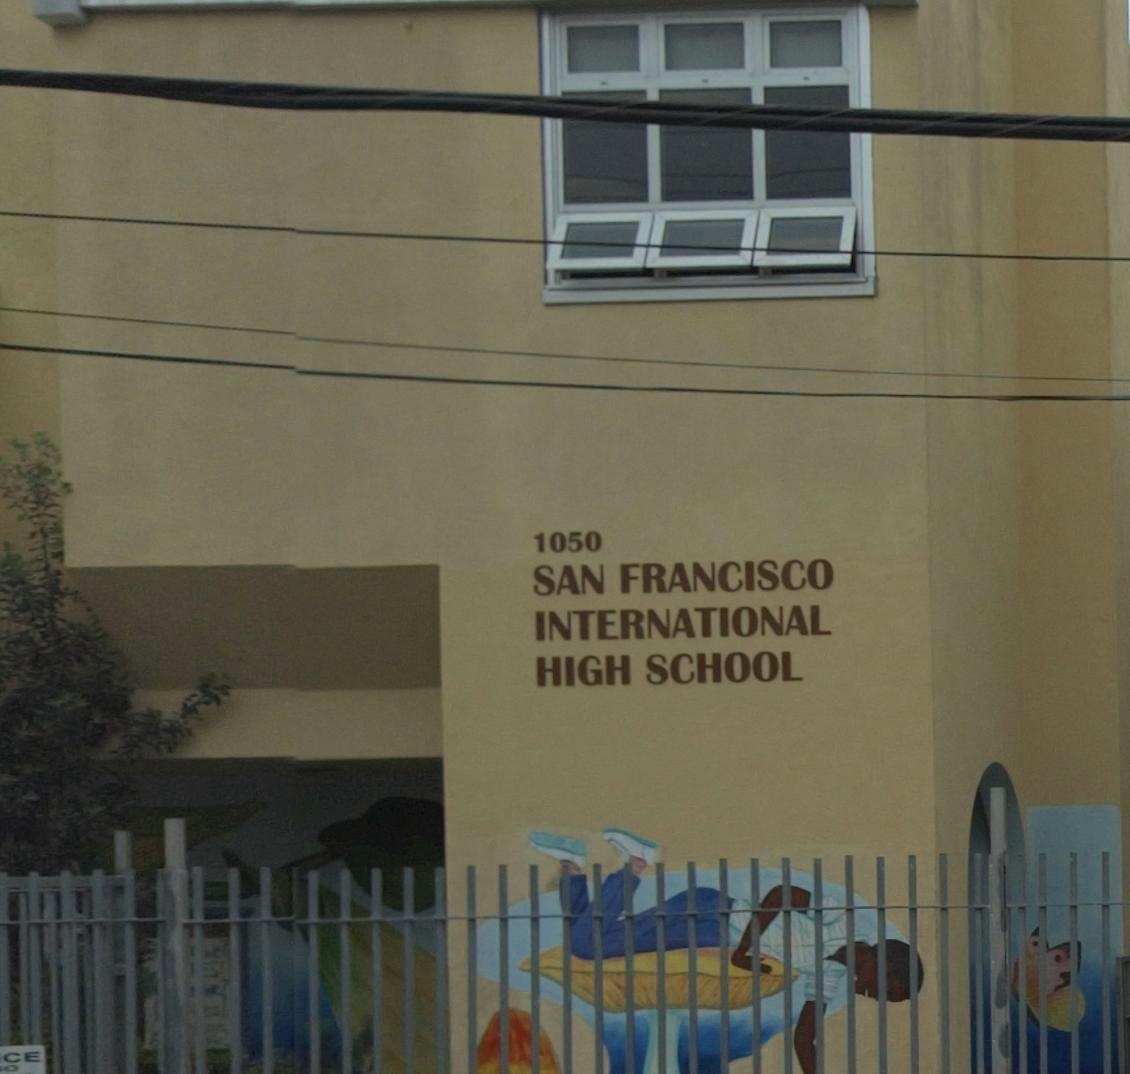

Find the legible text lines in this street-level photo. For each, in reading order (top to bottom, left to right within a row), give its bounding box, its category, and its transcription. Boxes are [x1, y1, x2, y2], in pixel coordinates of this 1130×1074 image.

[532, 529, 604, 554] StreetNumber: 1050
[531, 557, 837, 598] BusinessName: SAN FRANCISCO
[534, 603, 835, 643] BusinessName: INTERNATIONAL
[534, 649, 806, 690] BusinessName: HIGH SCHOOL
[3, 1049, 43, 1066] None: CE